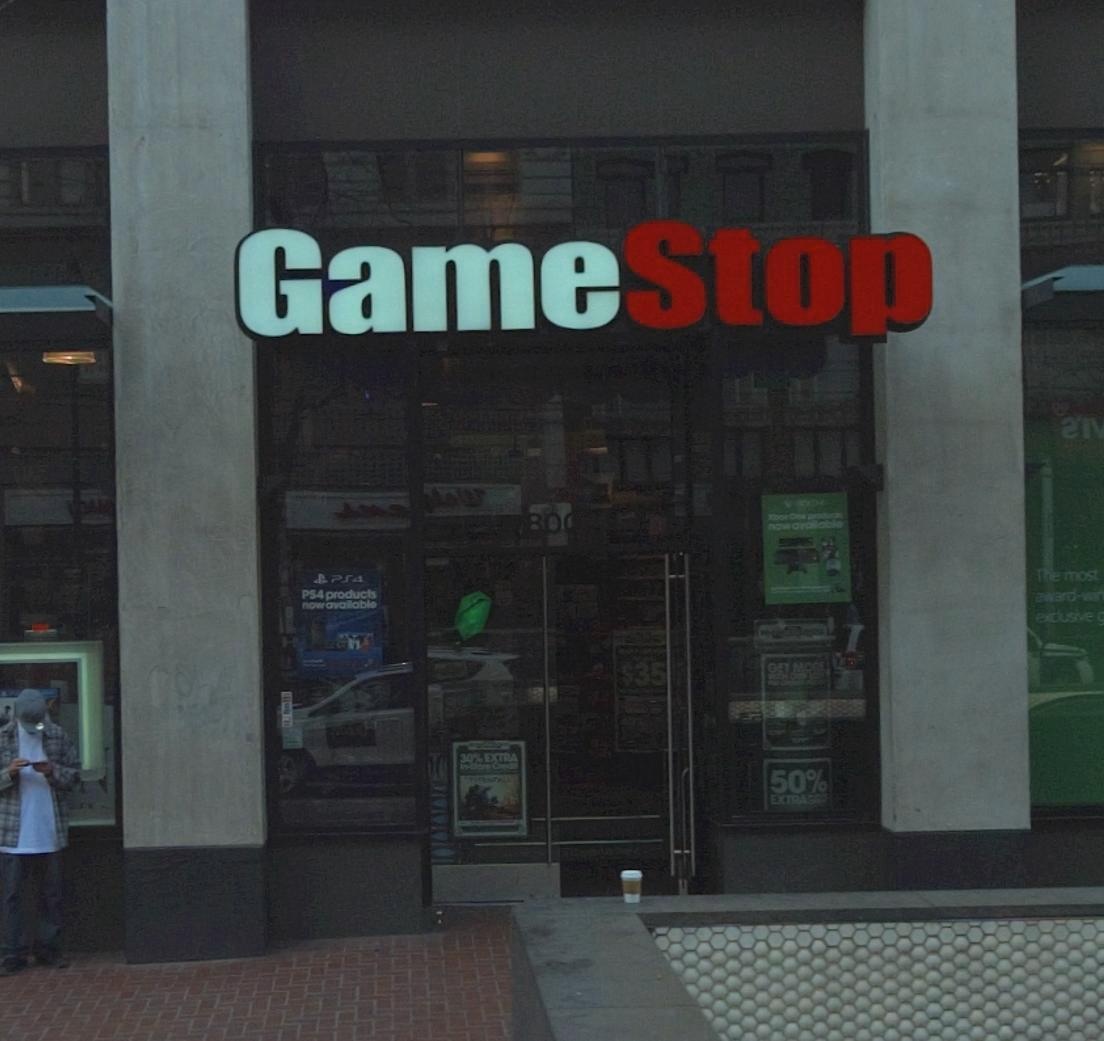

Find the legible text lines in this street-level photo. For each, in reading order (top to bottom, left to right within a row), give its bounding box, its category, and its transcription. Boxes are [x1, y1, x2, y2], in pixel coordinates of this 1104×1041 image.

[227, 210, 943, 347] BusinessName: GameStop
[1057, 411, 1100, 446] None: *'I
[81, 496, 104, 518] None: A
[426, 485, 490, 509] None: **W
[523, 508, 587, 537] StreetNumber: 800
[787, 511, 798, 523] None: O
[766, 517, 847, 534] None: now available
[325, 572, 367, 590] None: PS4
[1032, 562, 1102, 587] None: The most
[297, 584, 382, 604] None: PS4 products
[299, 597, 382, 614] None: now available
[1031, 605, 1096, 626] None: exclusive
[1033, 584, 1101, 607] None: award-wi
[617, 658, 671, 691] None: $35
[762, 657, 829, 677] None: GET MO*E
[456, 748, 522, 767] None: 30% EXTRA
[766, 762, 832, 800] None: 50%
[763, 790, 813, 808] None: EXTRA